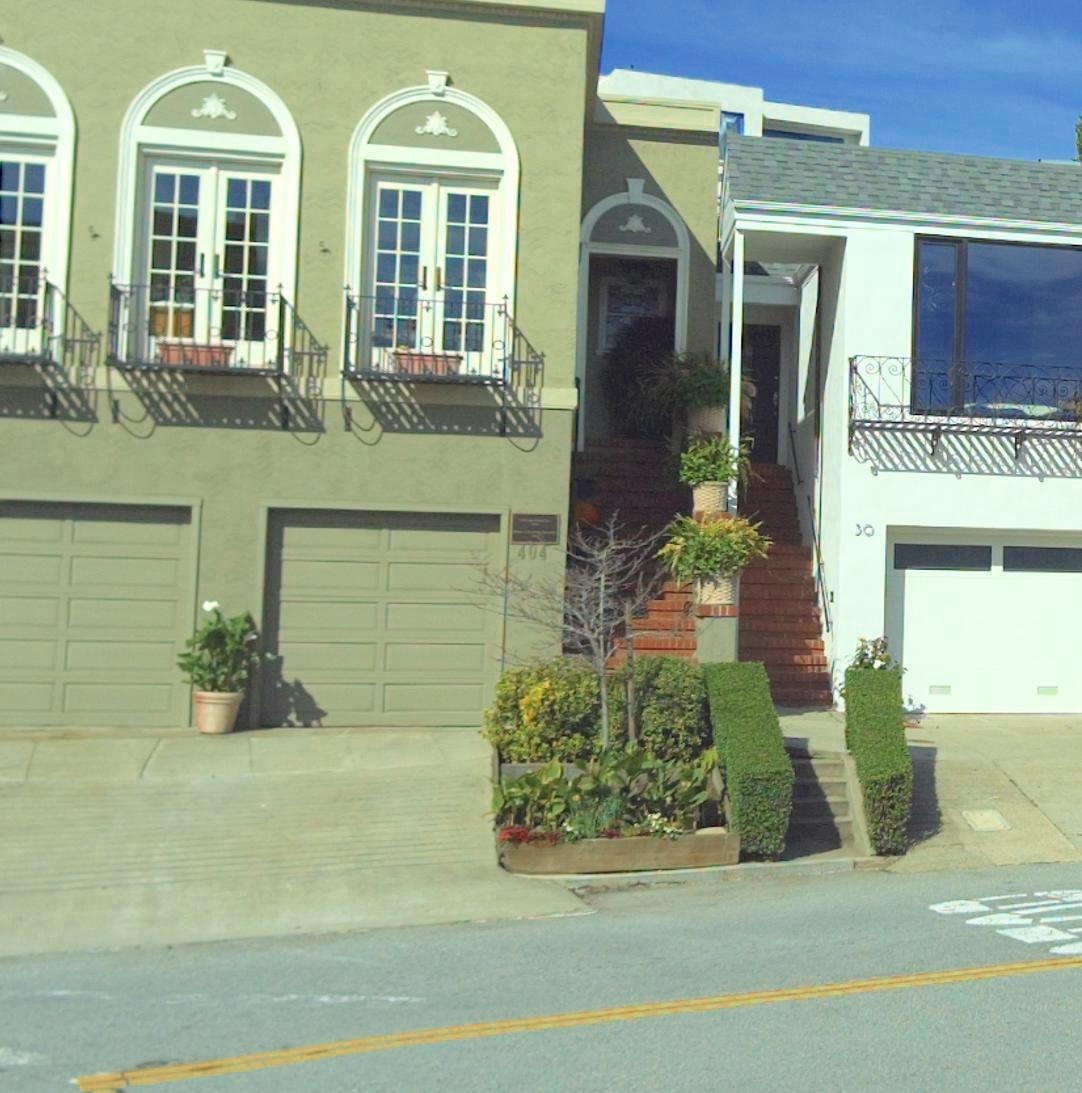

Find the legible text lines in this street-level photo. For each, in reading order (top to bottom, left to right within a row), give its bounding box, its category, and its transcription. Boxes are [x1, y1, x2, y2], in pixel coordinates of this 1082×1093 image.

[853, 520, 875, 537] StreetNumber: 30
[515, 543, 549, 561] StreetNumber: 404